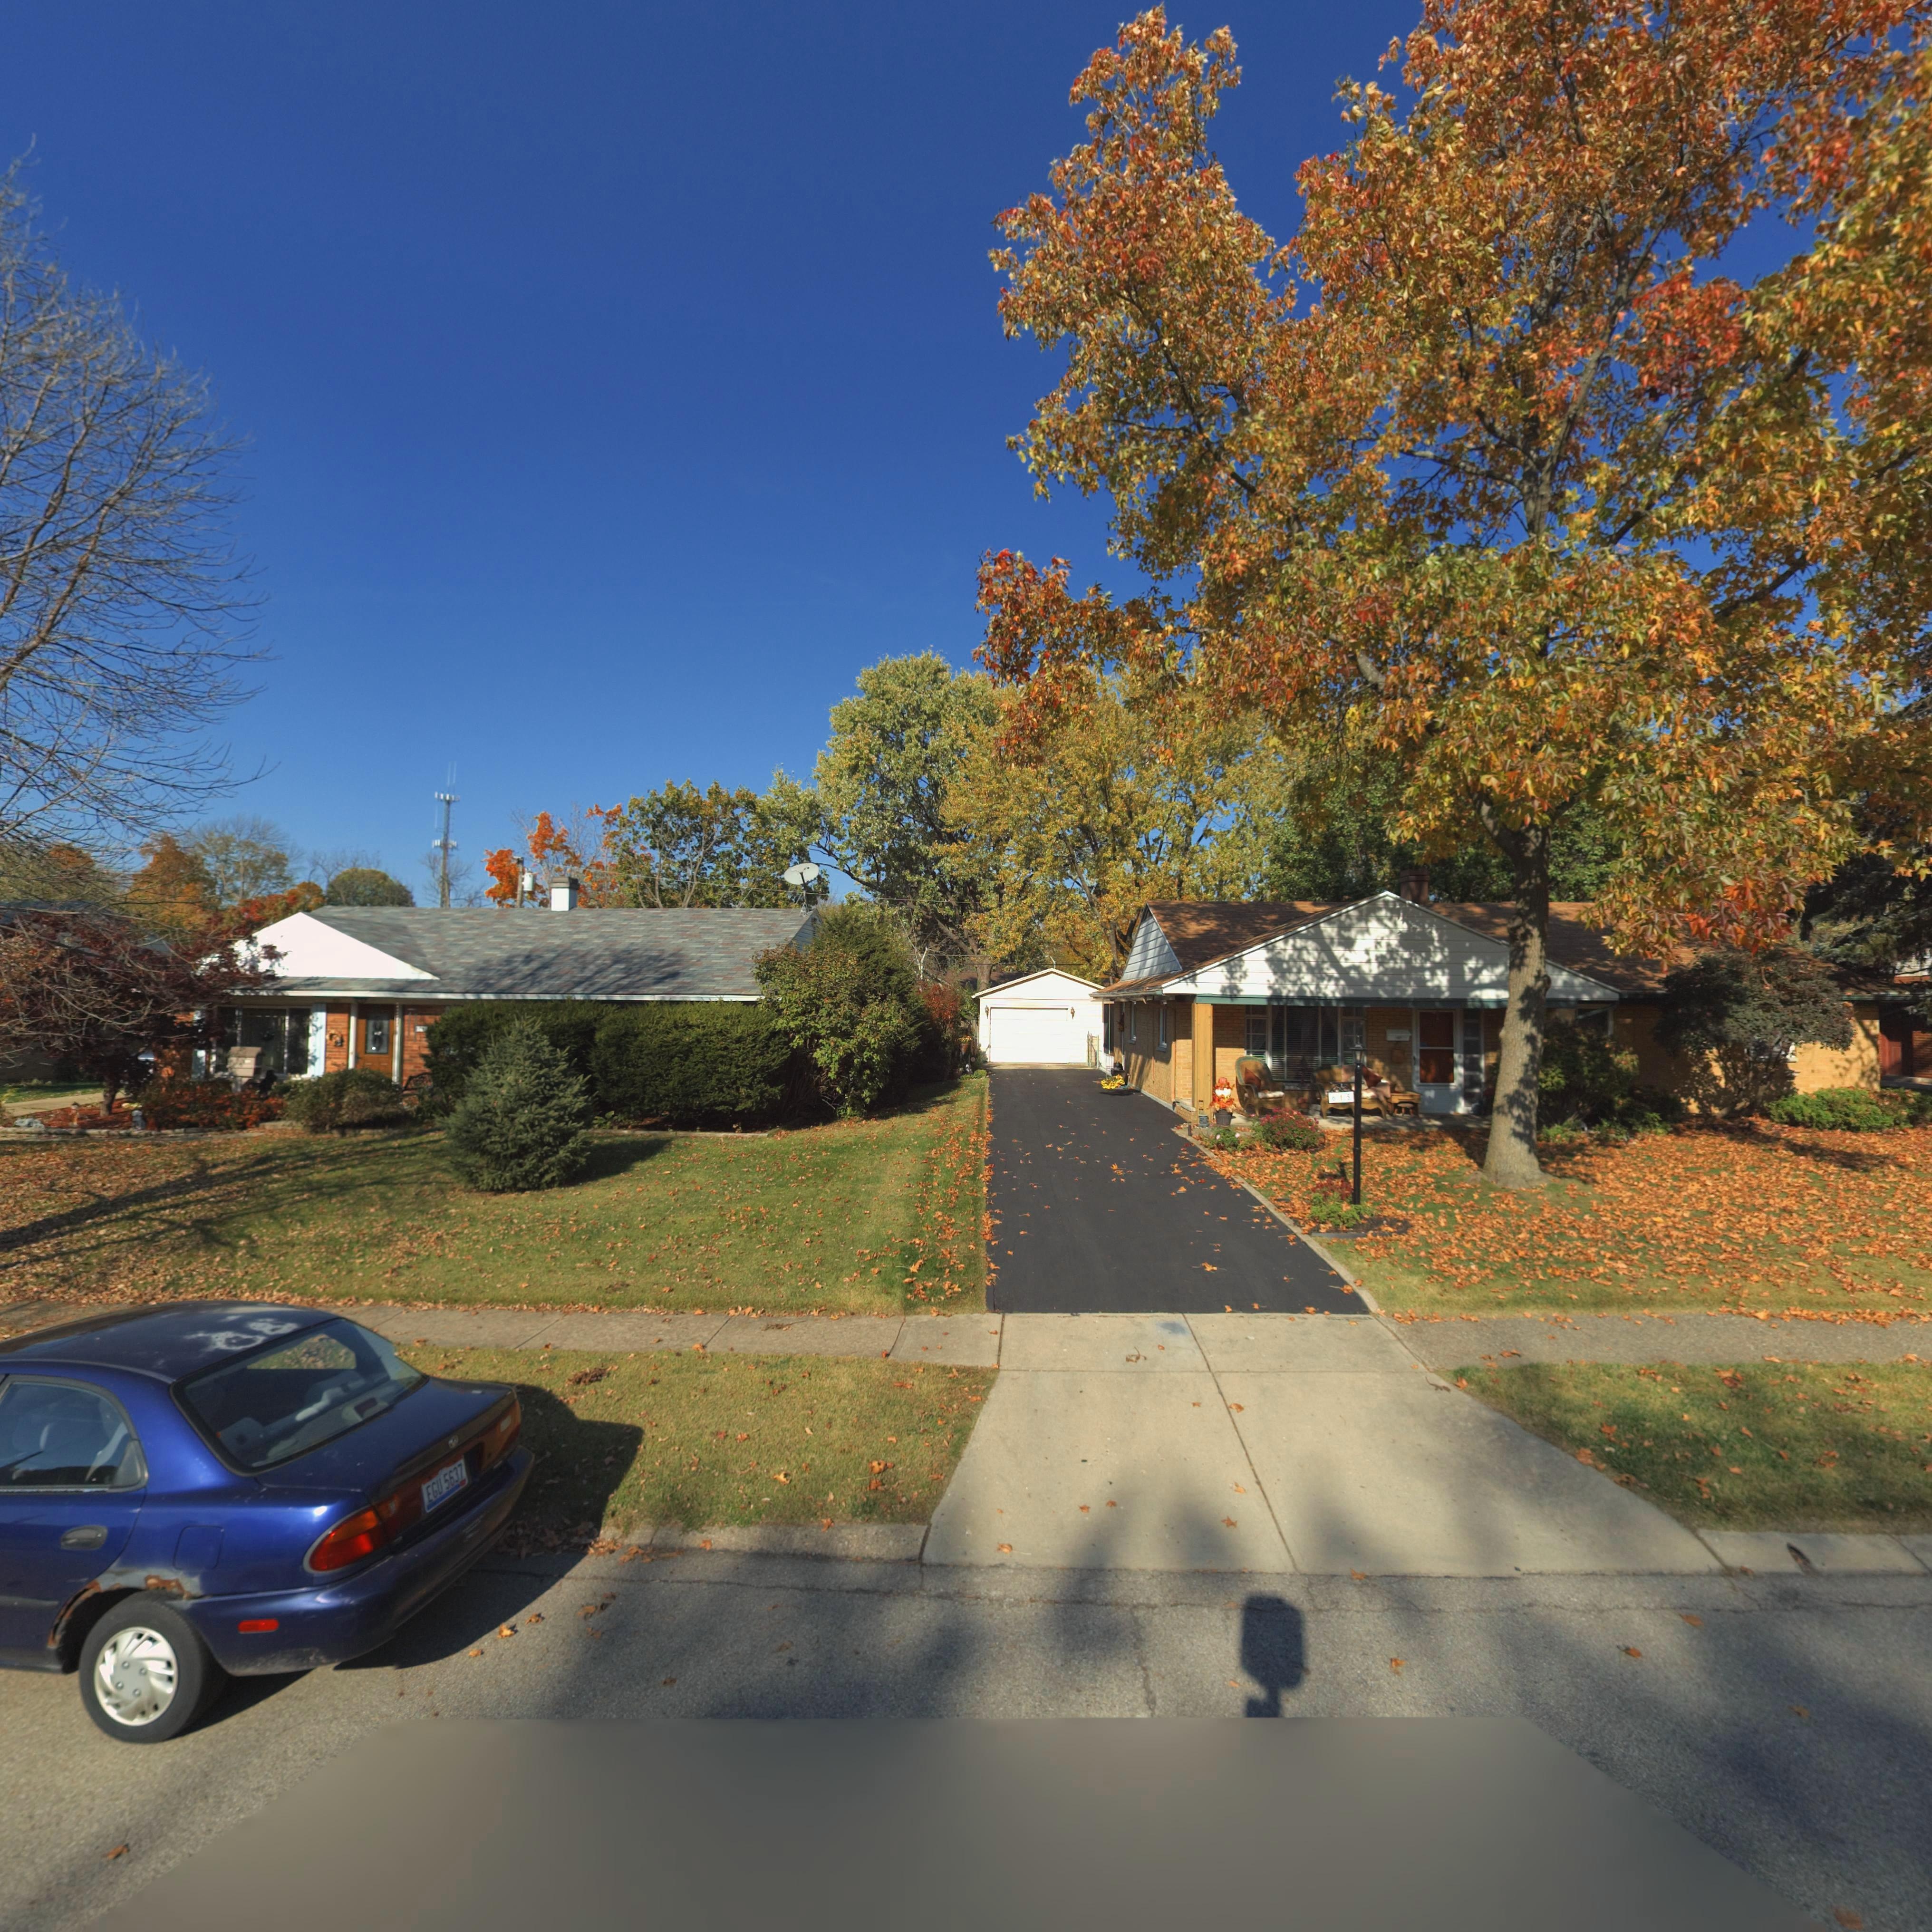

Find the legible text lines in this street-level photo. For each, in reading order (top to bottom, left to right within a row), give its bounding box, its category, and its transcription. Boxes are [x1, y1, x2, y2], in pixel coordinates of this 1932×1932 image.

[1331, 1093, 1351, 1101] StreetNumber: *15
[425, 1461, 464, 1505] None: EGU*5637